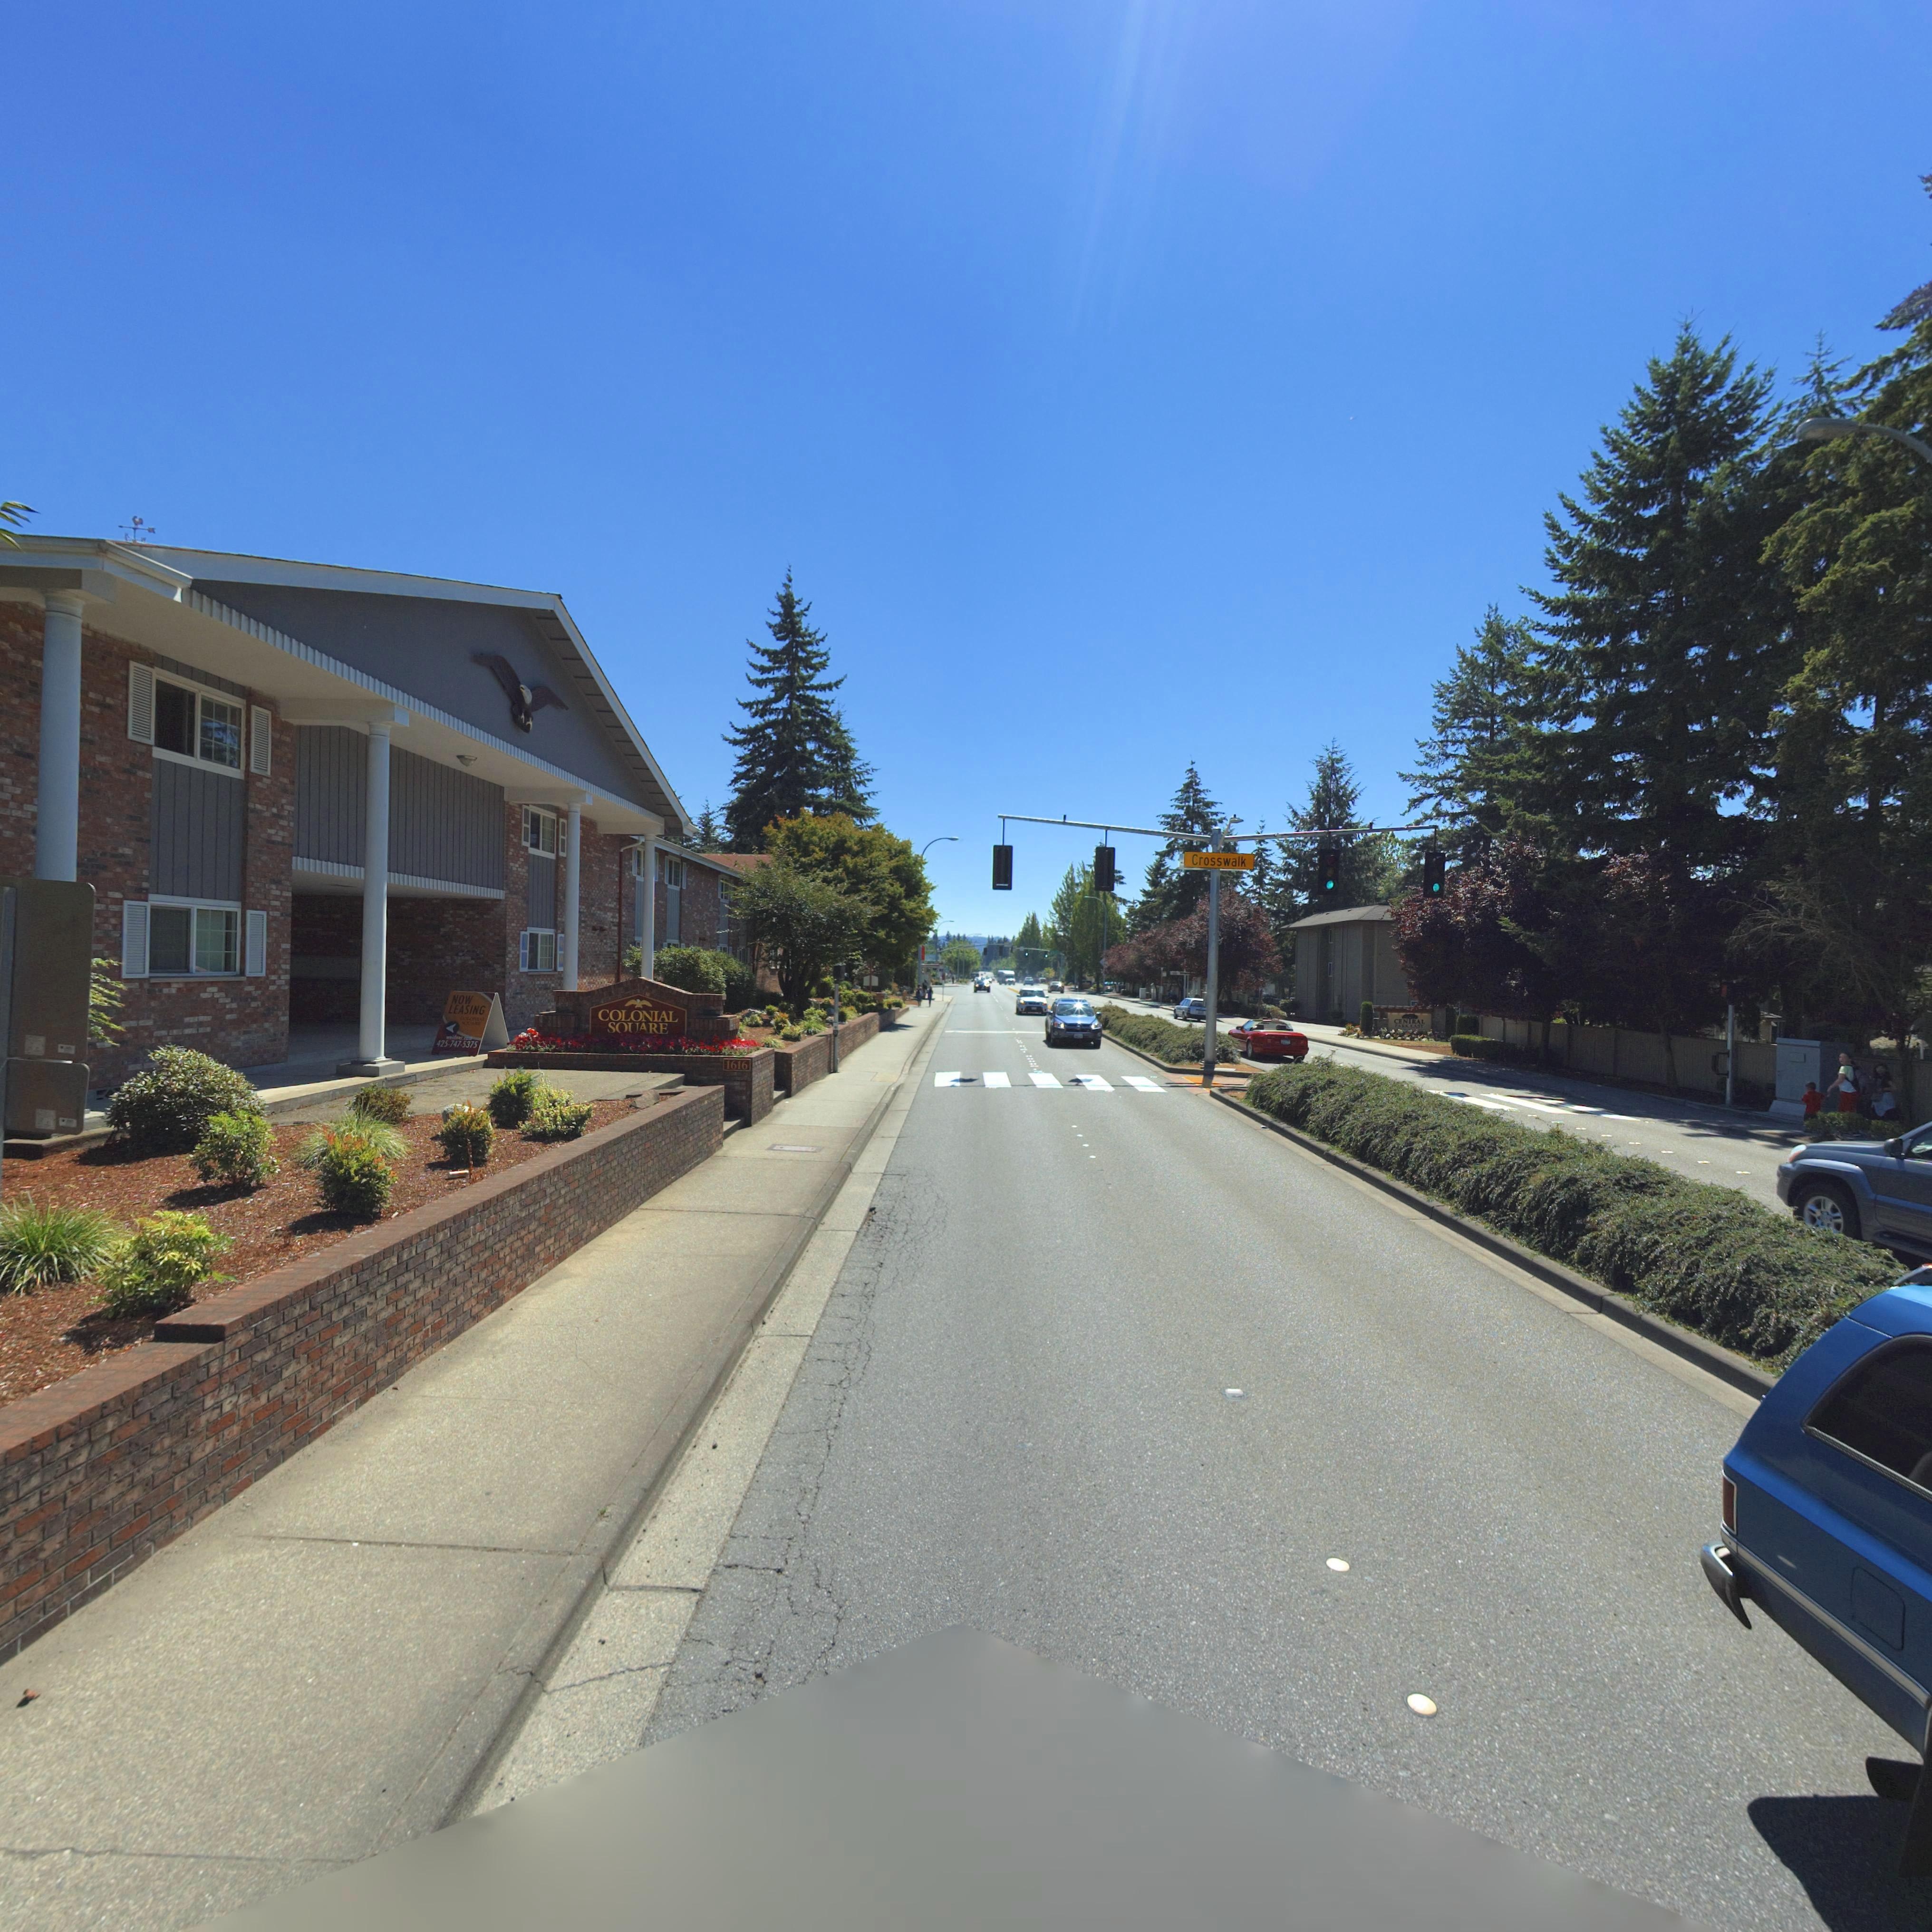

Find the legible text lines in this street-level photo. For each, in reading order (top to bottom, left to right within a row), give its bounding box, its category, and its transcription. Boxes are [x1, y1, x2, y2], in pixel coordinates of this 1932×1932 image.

[597, 1008, 680, 1023] BusinessName: COLONIAL
[606, 1021, 669, 1035] BusinessName: SQUARE
[725, 1059, 749, 1071] StreetNumber: 1616